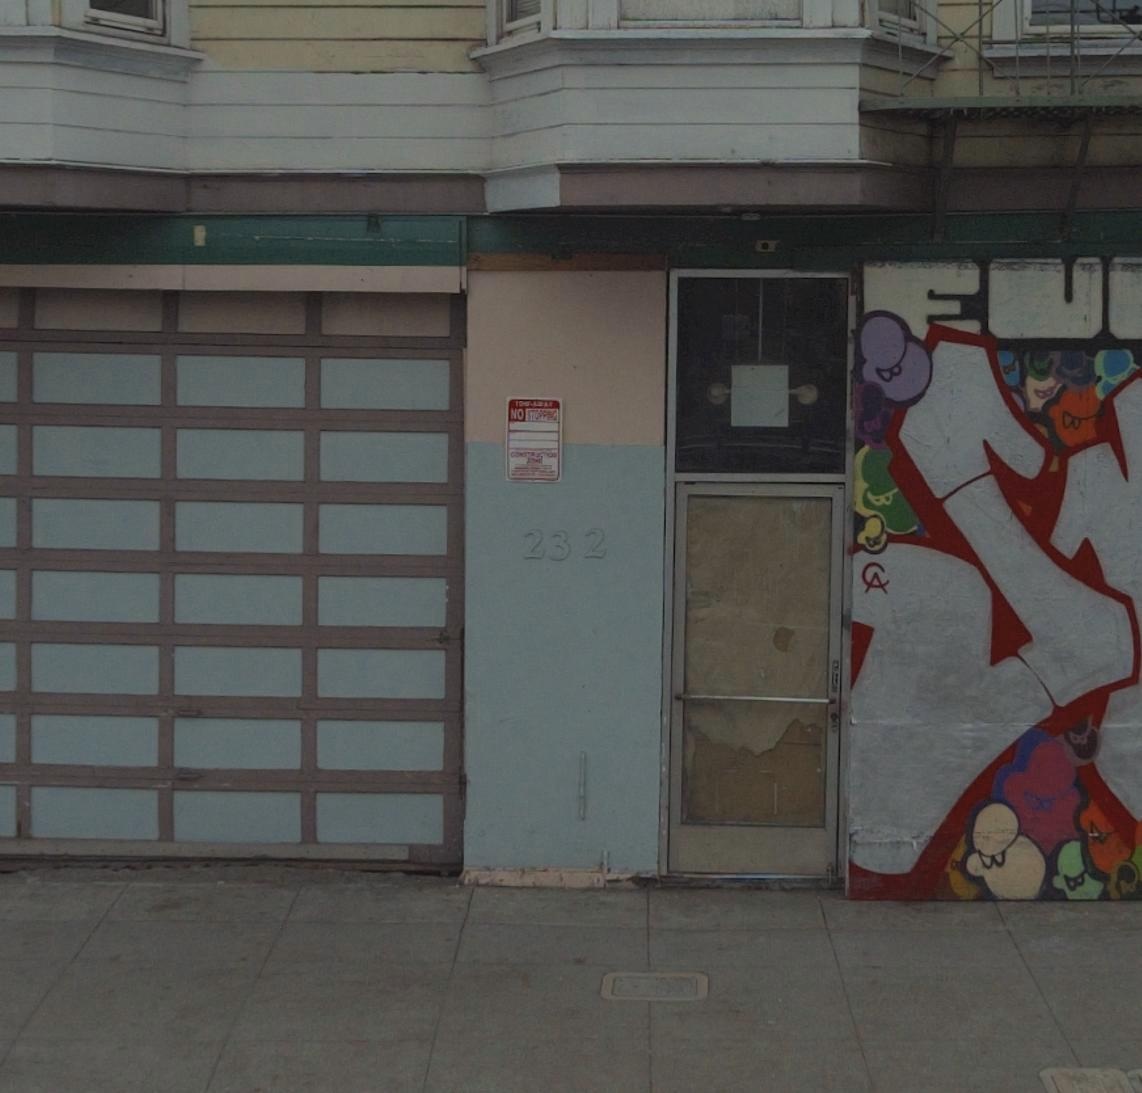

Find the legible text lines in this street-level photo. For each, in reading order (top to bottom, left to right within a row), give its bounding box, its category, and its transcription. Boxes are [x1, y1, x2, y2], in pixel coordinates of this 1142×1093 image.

[984, 254, 1106, 342] None: U
[508, 406, 542, 423] None: NO STO
[521, 525, 608, 564] StreetNumber: 232